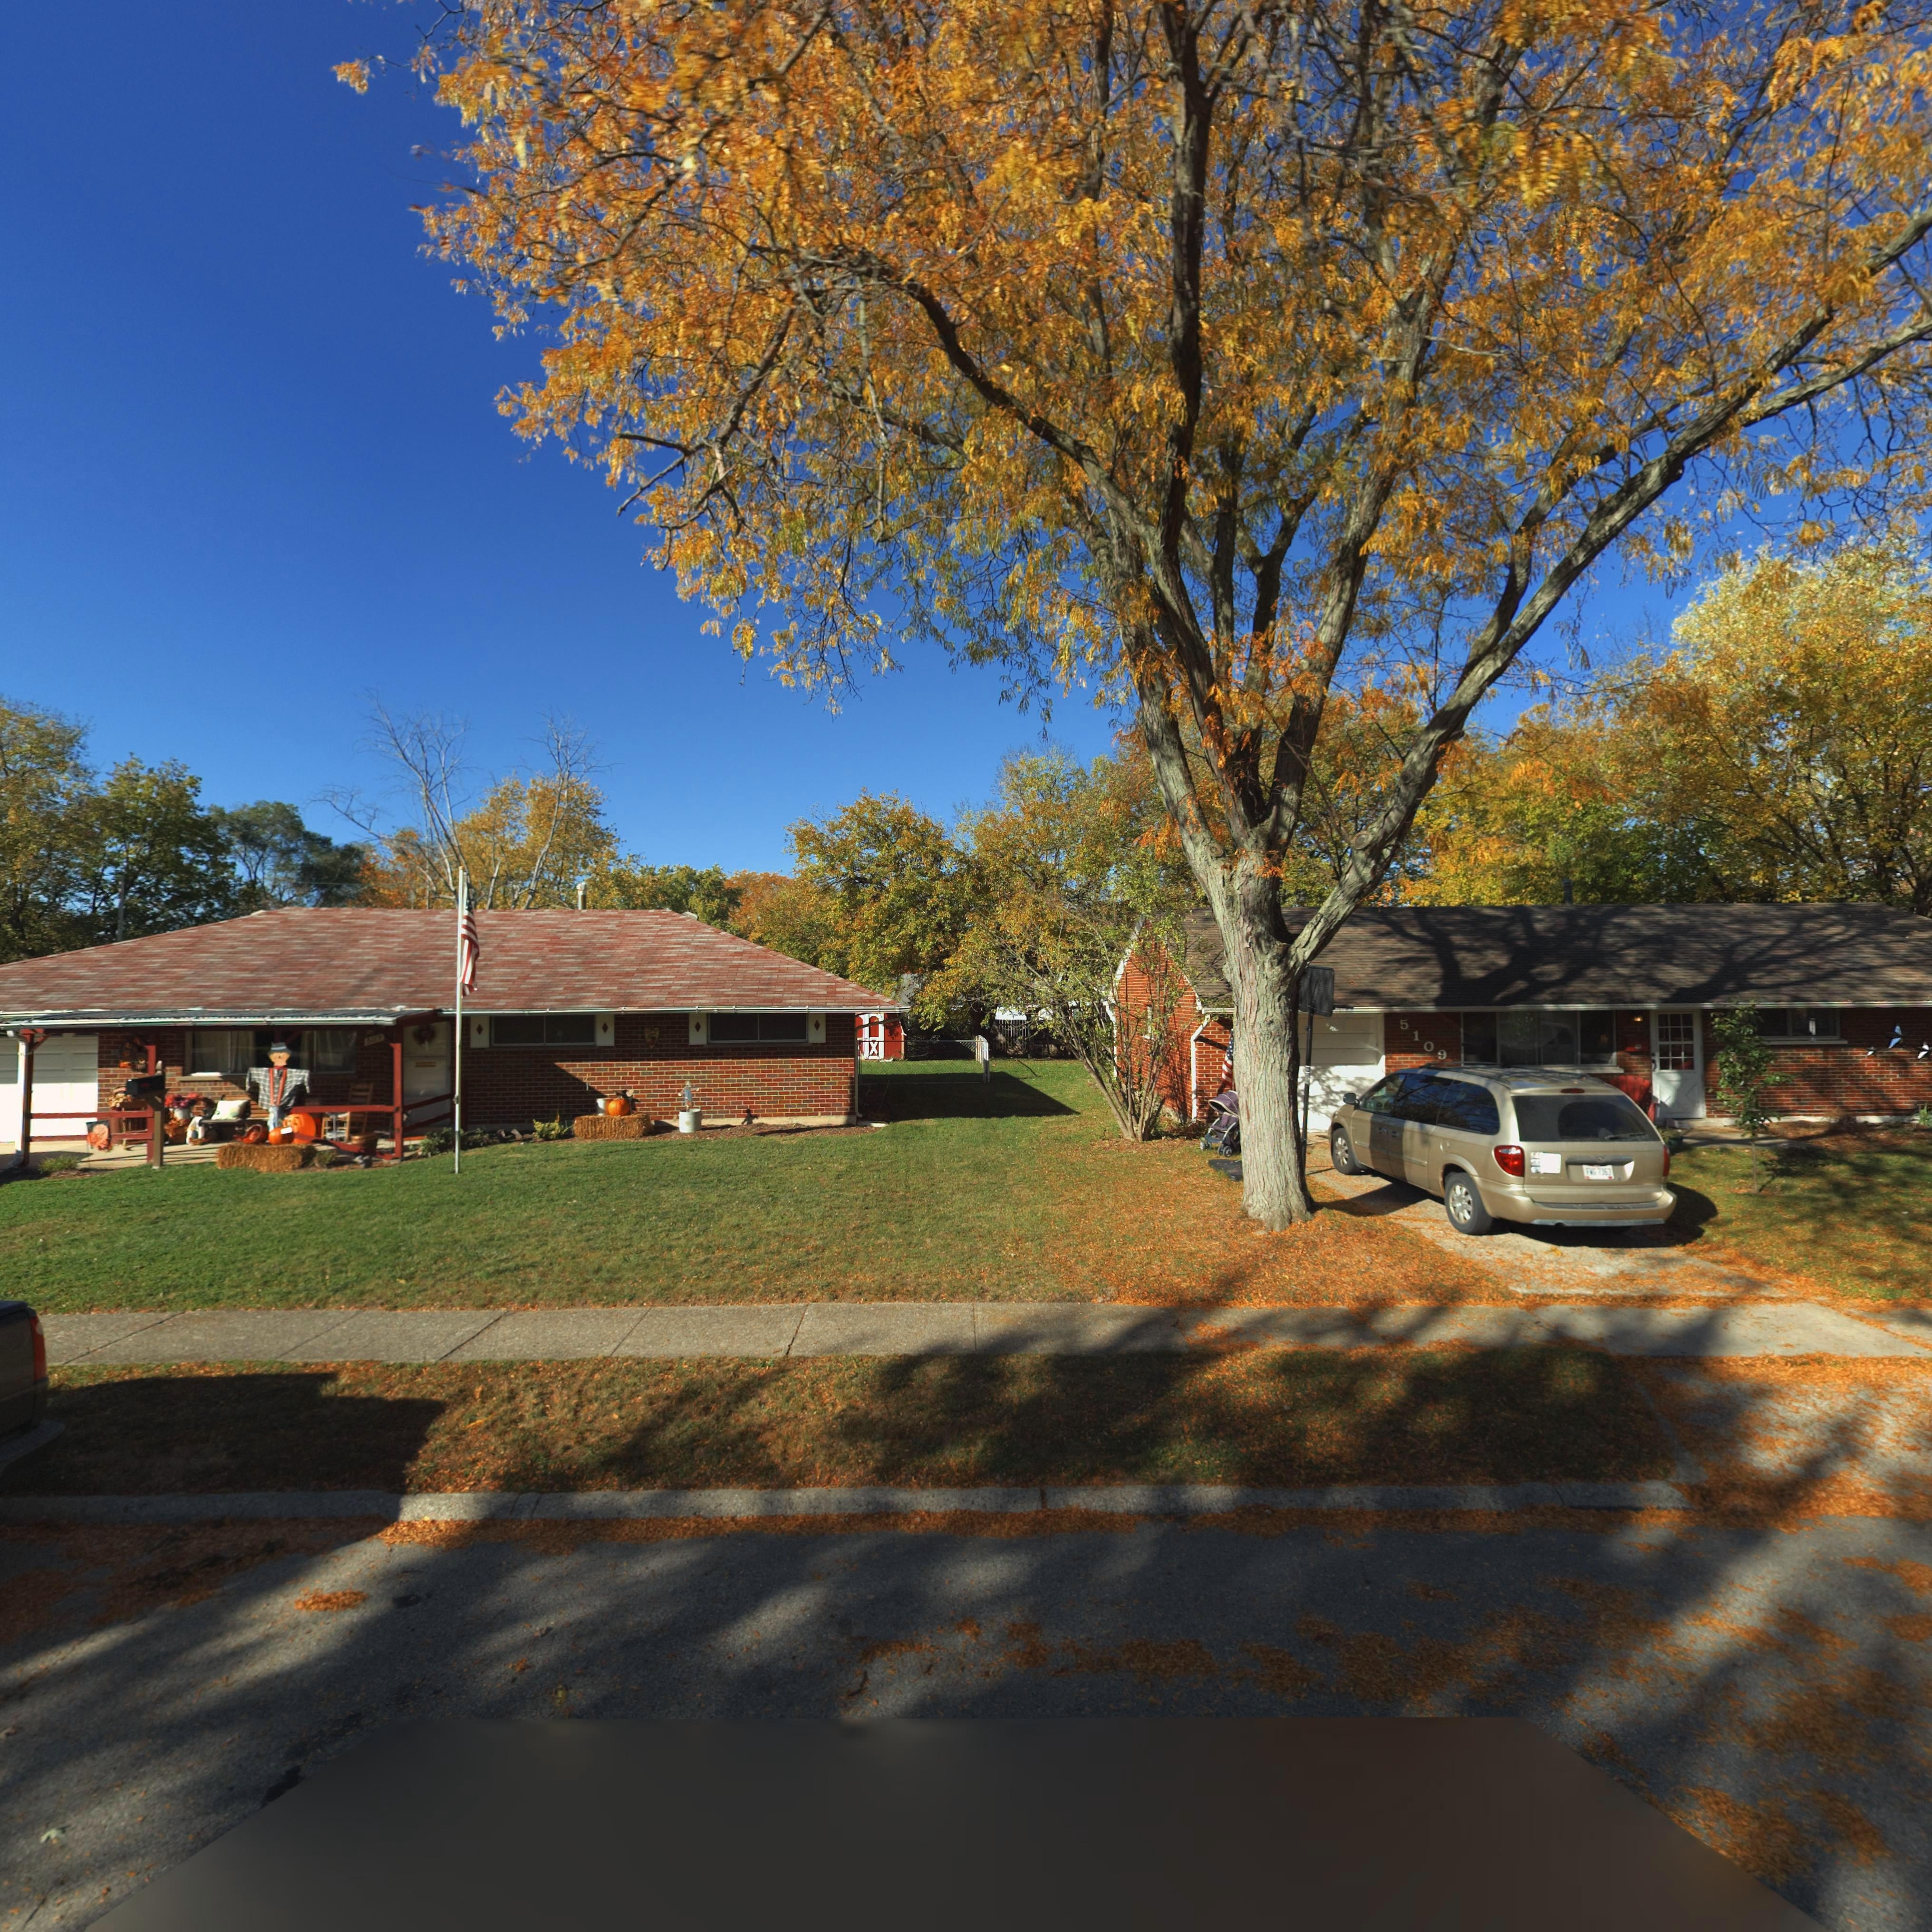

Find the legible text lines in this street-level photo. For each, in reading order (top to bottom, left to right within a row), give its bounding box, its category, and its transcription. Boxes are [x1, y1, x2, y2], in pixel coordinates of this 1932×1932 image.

[365, 1033, 383, 1045] StreetNumber: 5119
[1398, 1018, 1448, 1061] StreetNumber: 5109